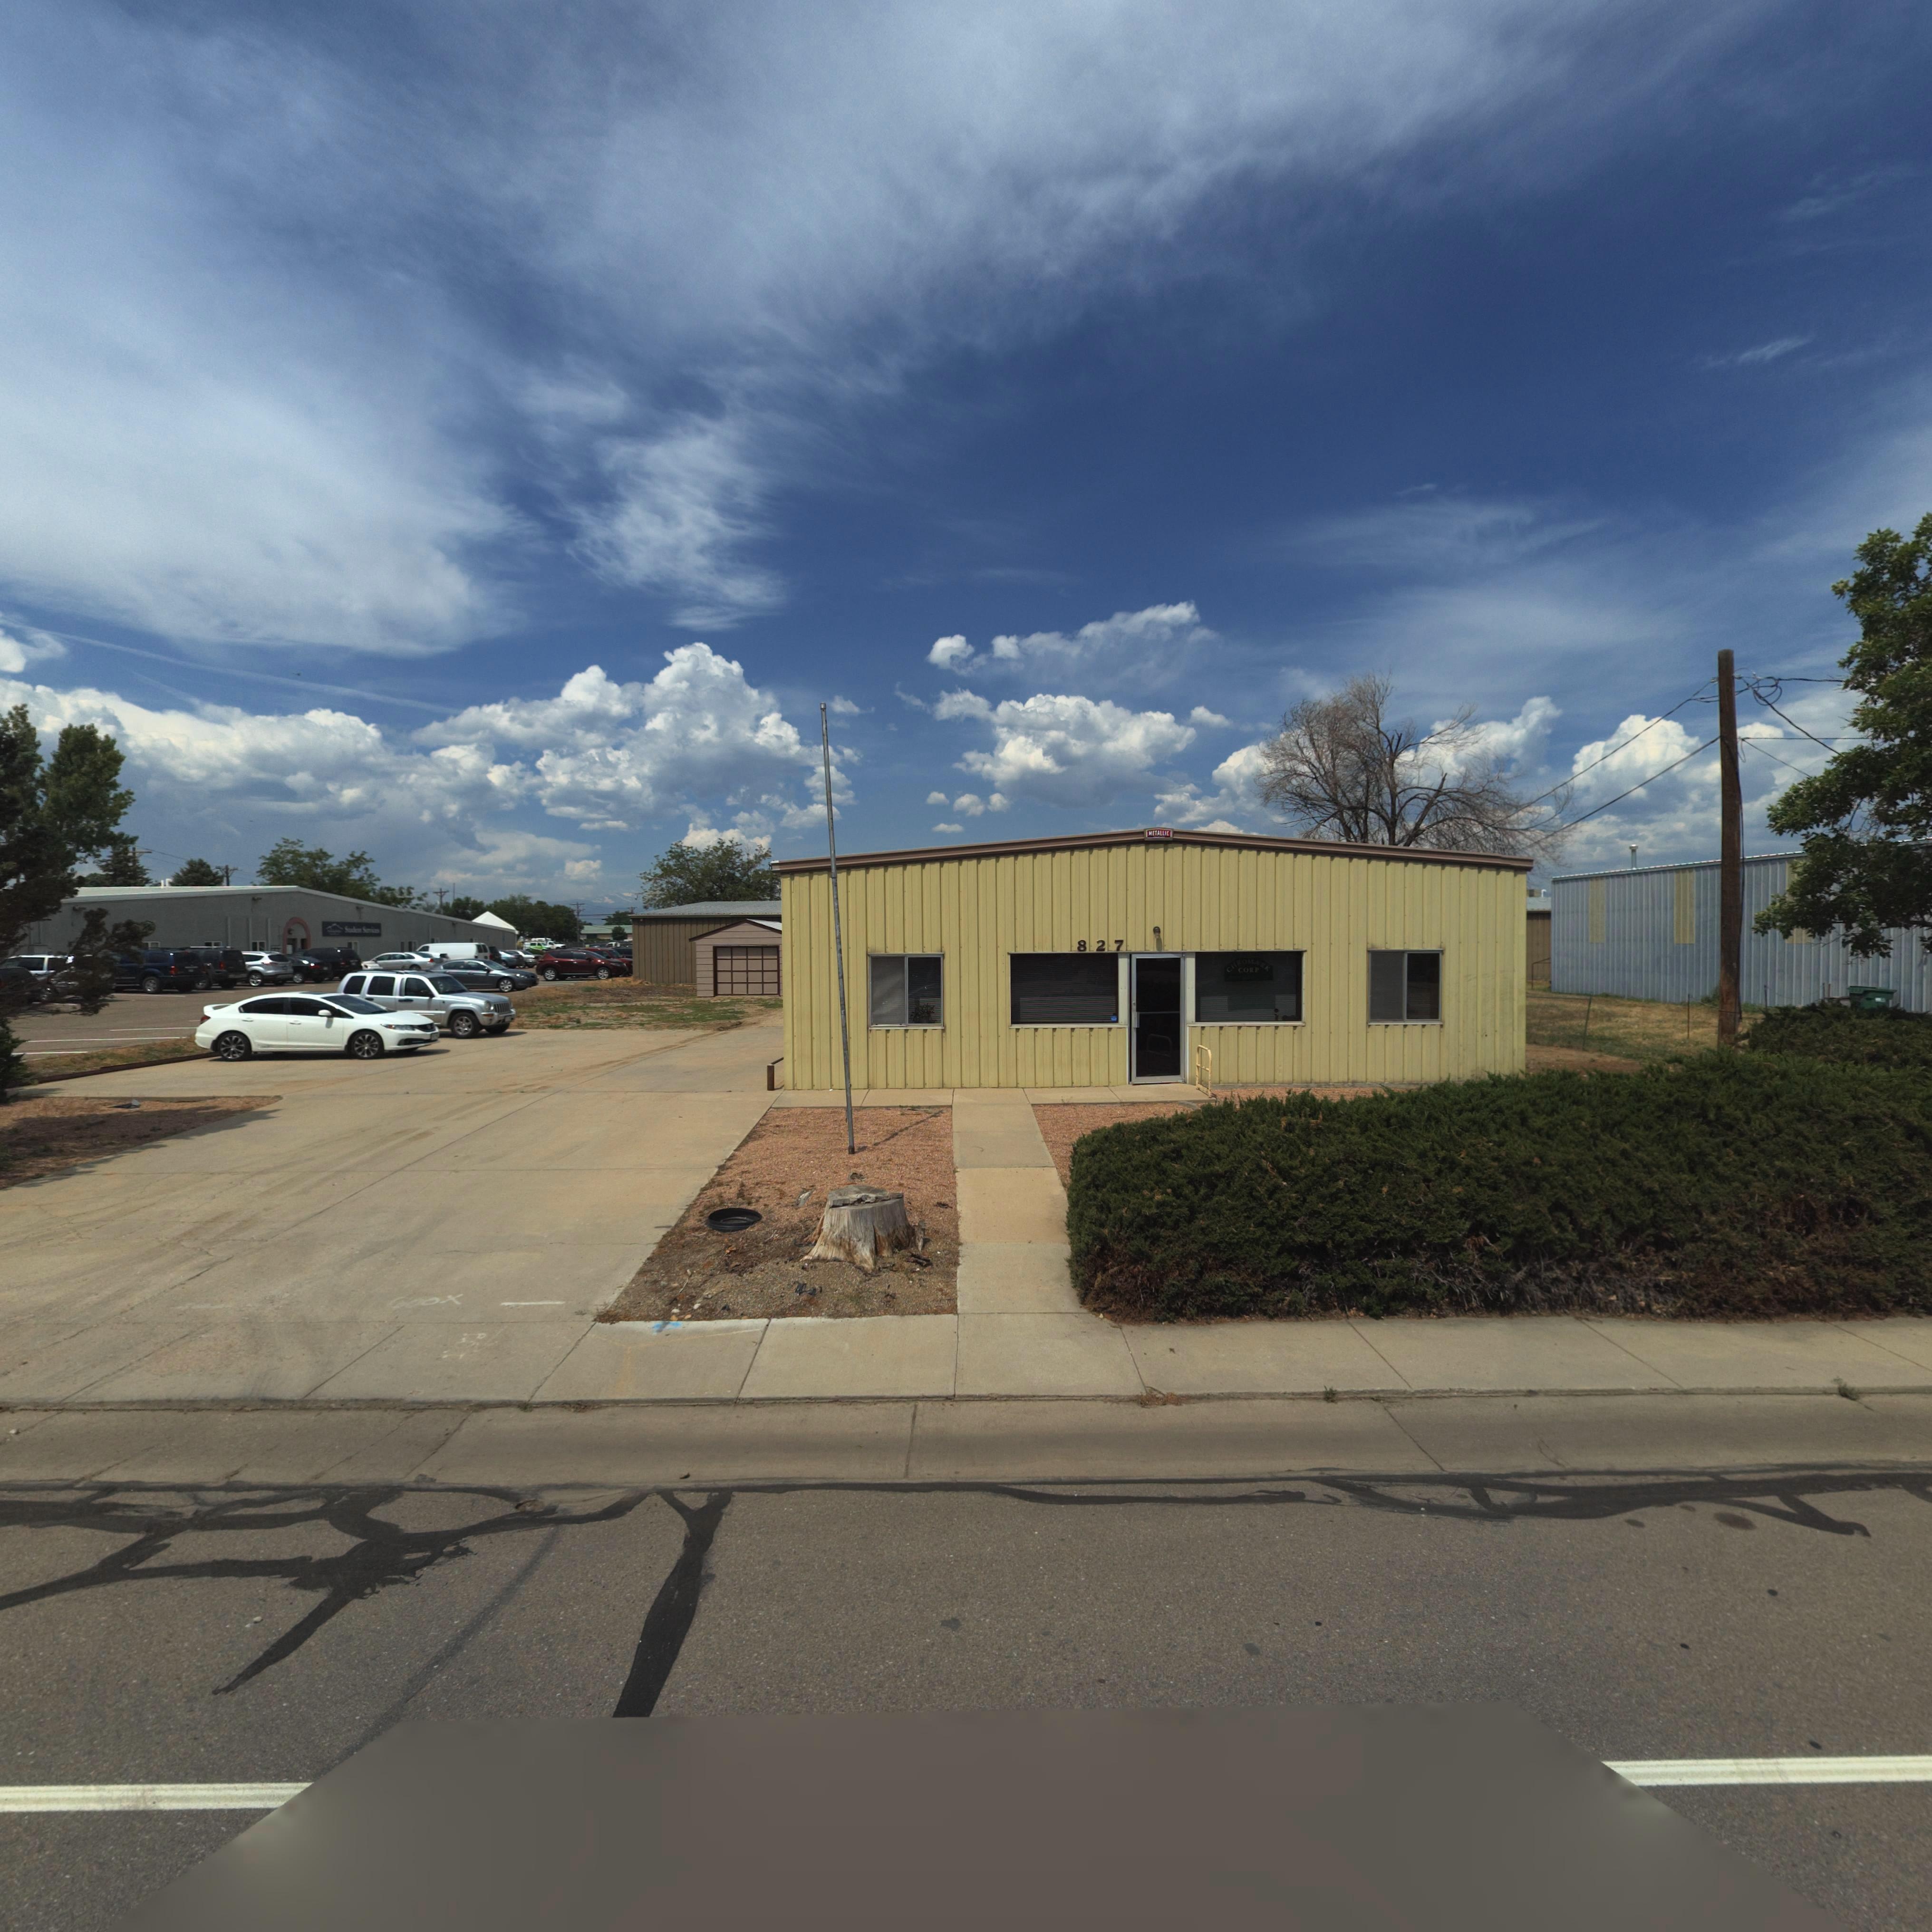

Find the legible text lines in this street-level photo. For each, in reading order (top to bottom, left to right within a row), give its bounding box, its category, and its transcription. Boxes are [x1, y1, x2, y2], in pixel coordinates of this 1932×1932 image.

[1076, 939, 1123, 952] StreetNumber: 827
[1237, 967, 1259, 973] BusinessName: CORP
[1226, 958, 1272, 972] BusinessName: CHROMARK